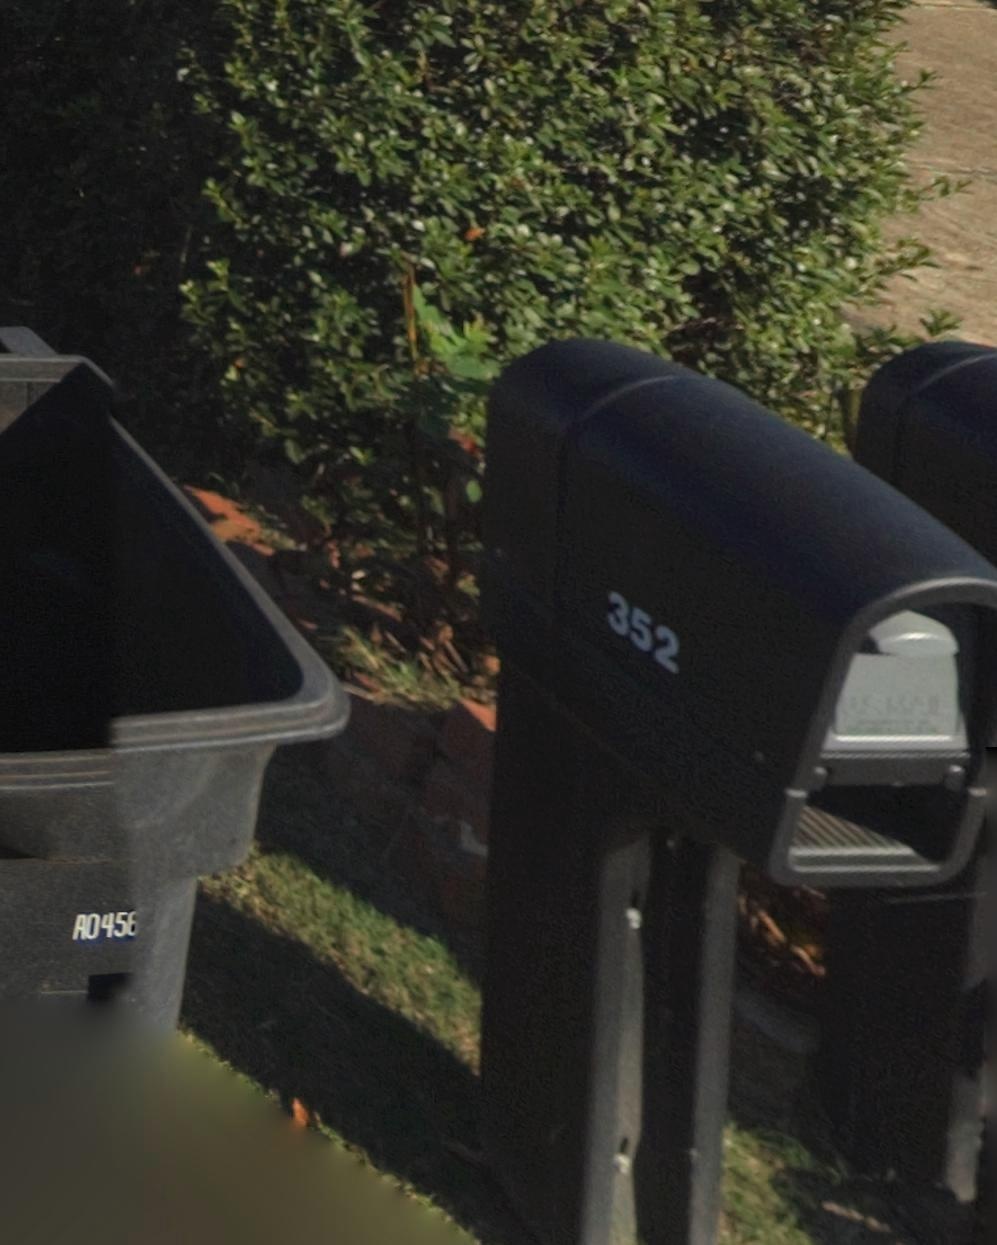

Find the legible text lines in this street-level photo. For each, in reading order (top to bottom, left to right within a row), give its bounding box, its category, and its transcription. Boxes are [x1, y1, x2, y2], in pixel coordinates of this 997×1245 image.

[604, 584, 682, 677] StreetNumber: 352
[69, 911, 141, 940] None: A0456